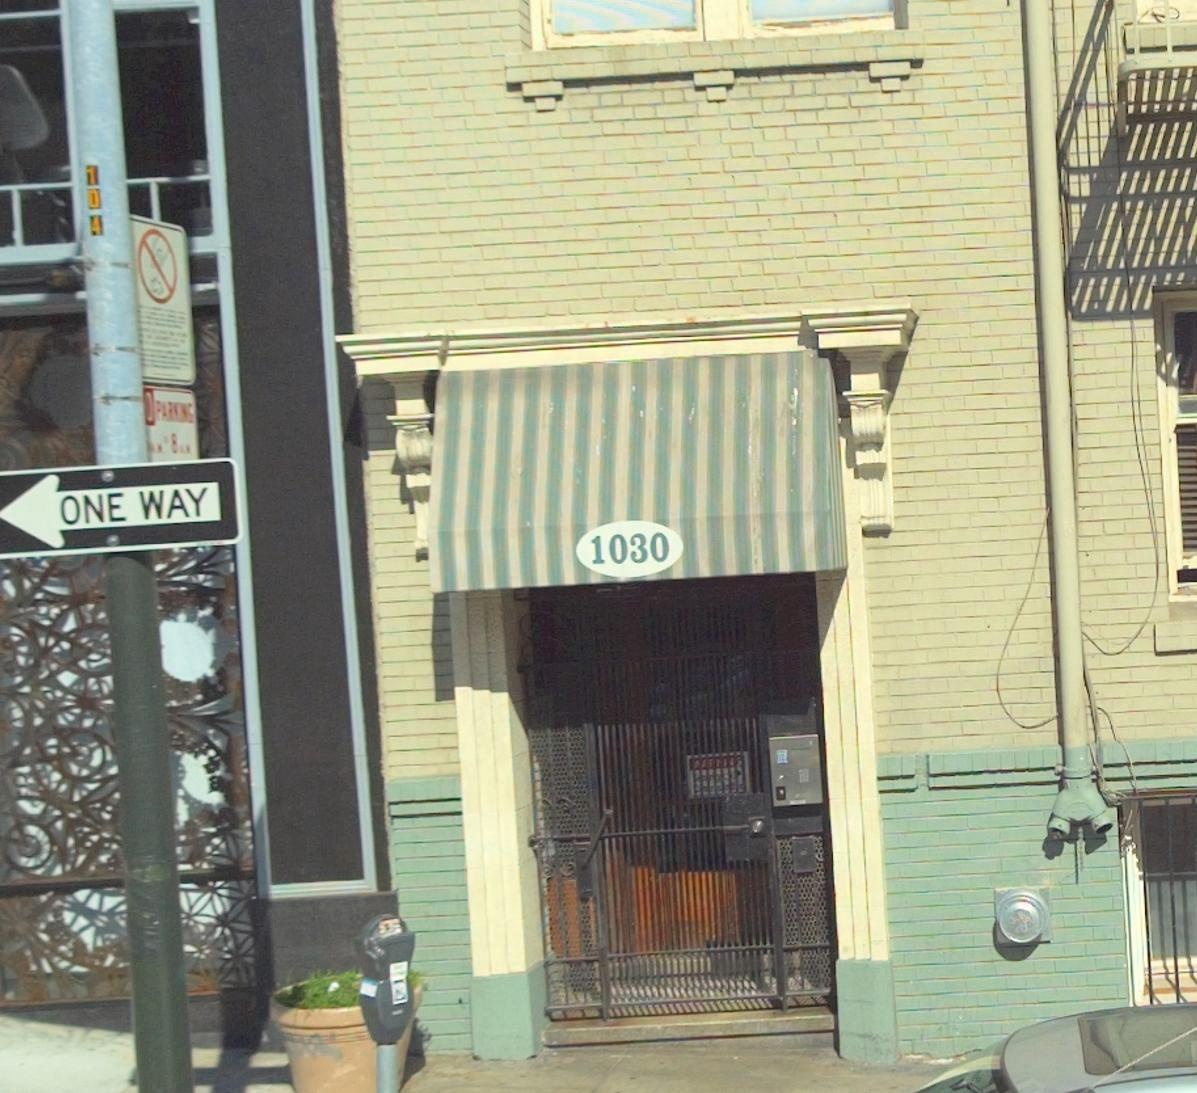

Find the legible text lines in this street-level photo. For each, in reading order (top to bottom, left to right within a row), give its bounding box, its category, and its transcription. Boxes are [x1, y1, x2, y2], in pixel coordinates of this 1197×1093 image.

[85, 165, 104, 236] None: 104
[153, 399, 195, 424] None: PA***G
[169, 431, 193, 456] None: 8**
[56, 485, 210, 528] None: ONE WAY
[589, 530, 671, 566] StreetNumber: 1030